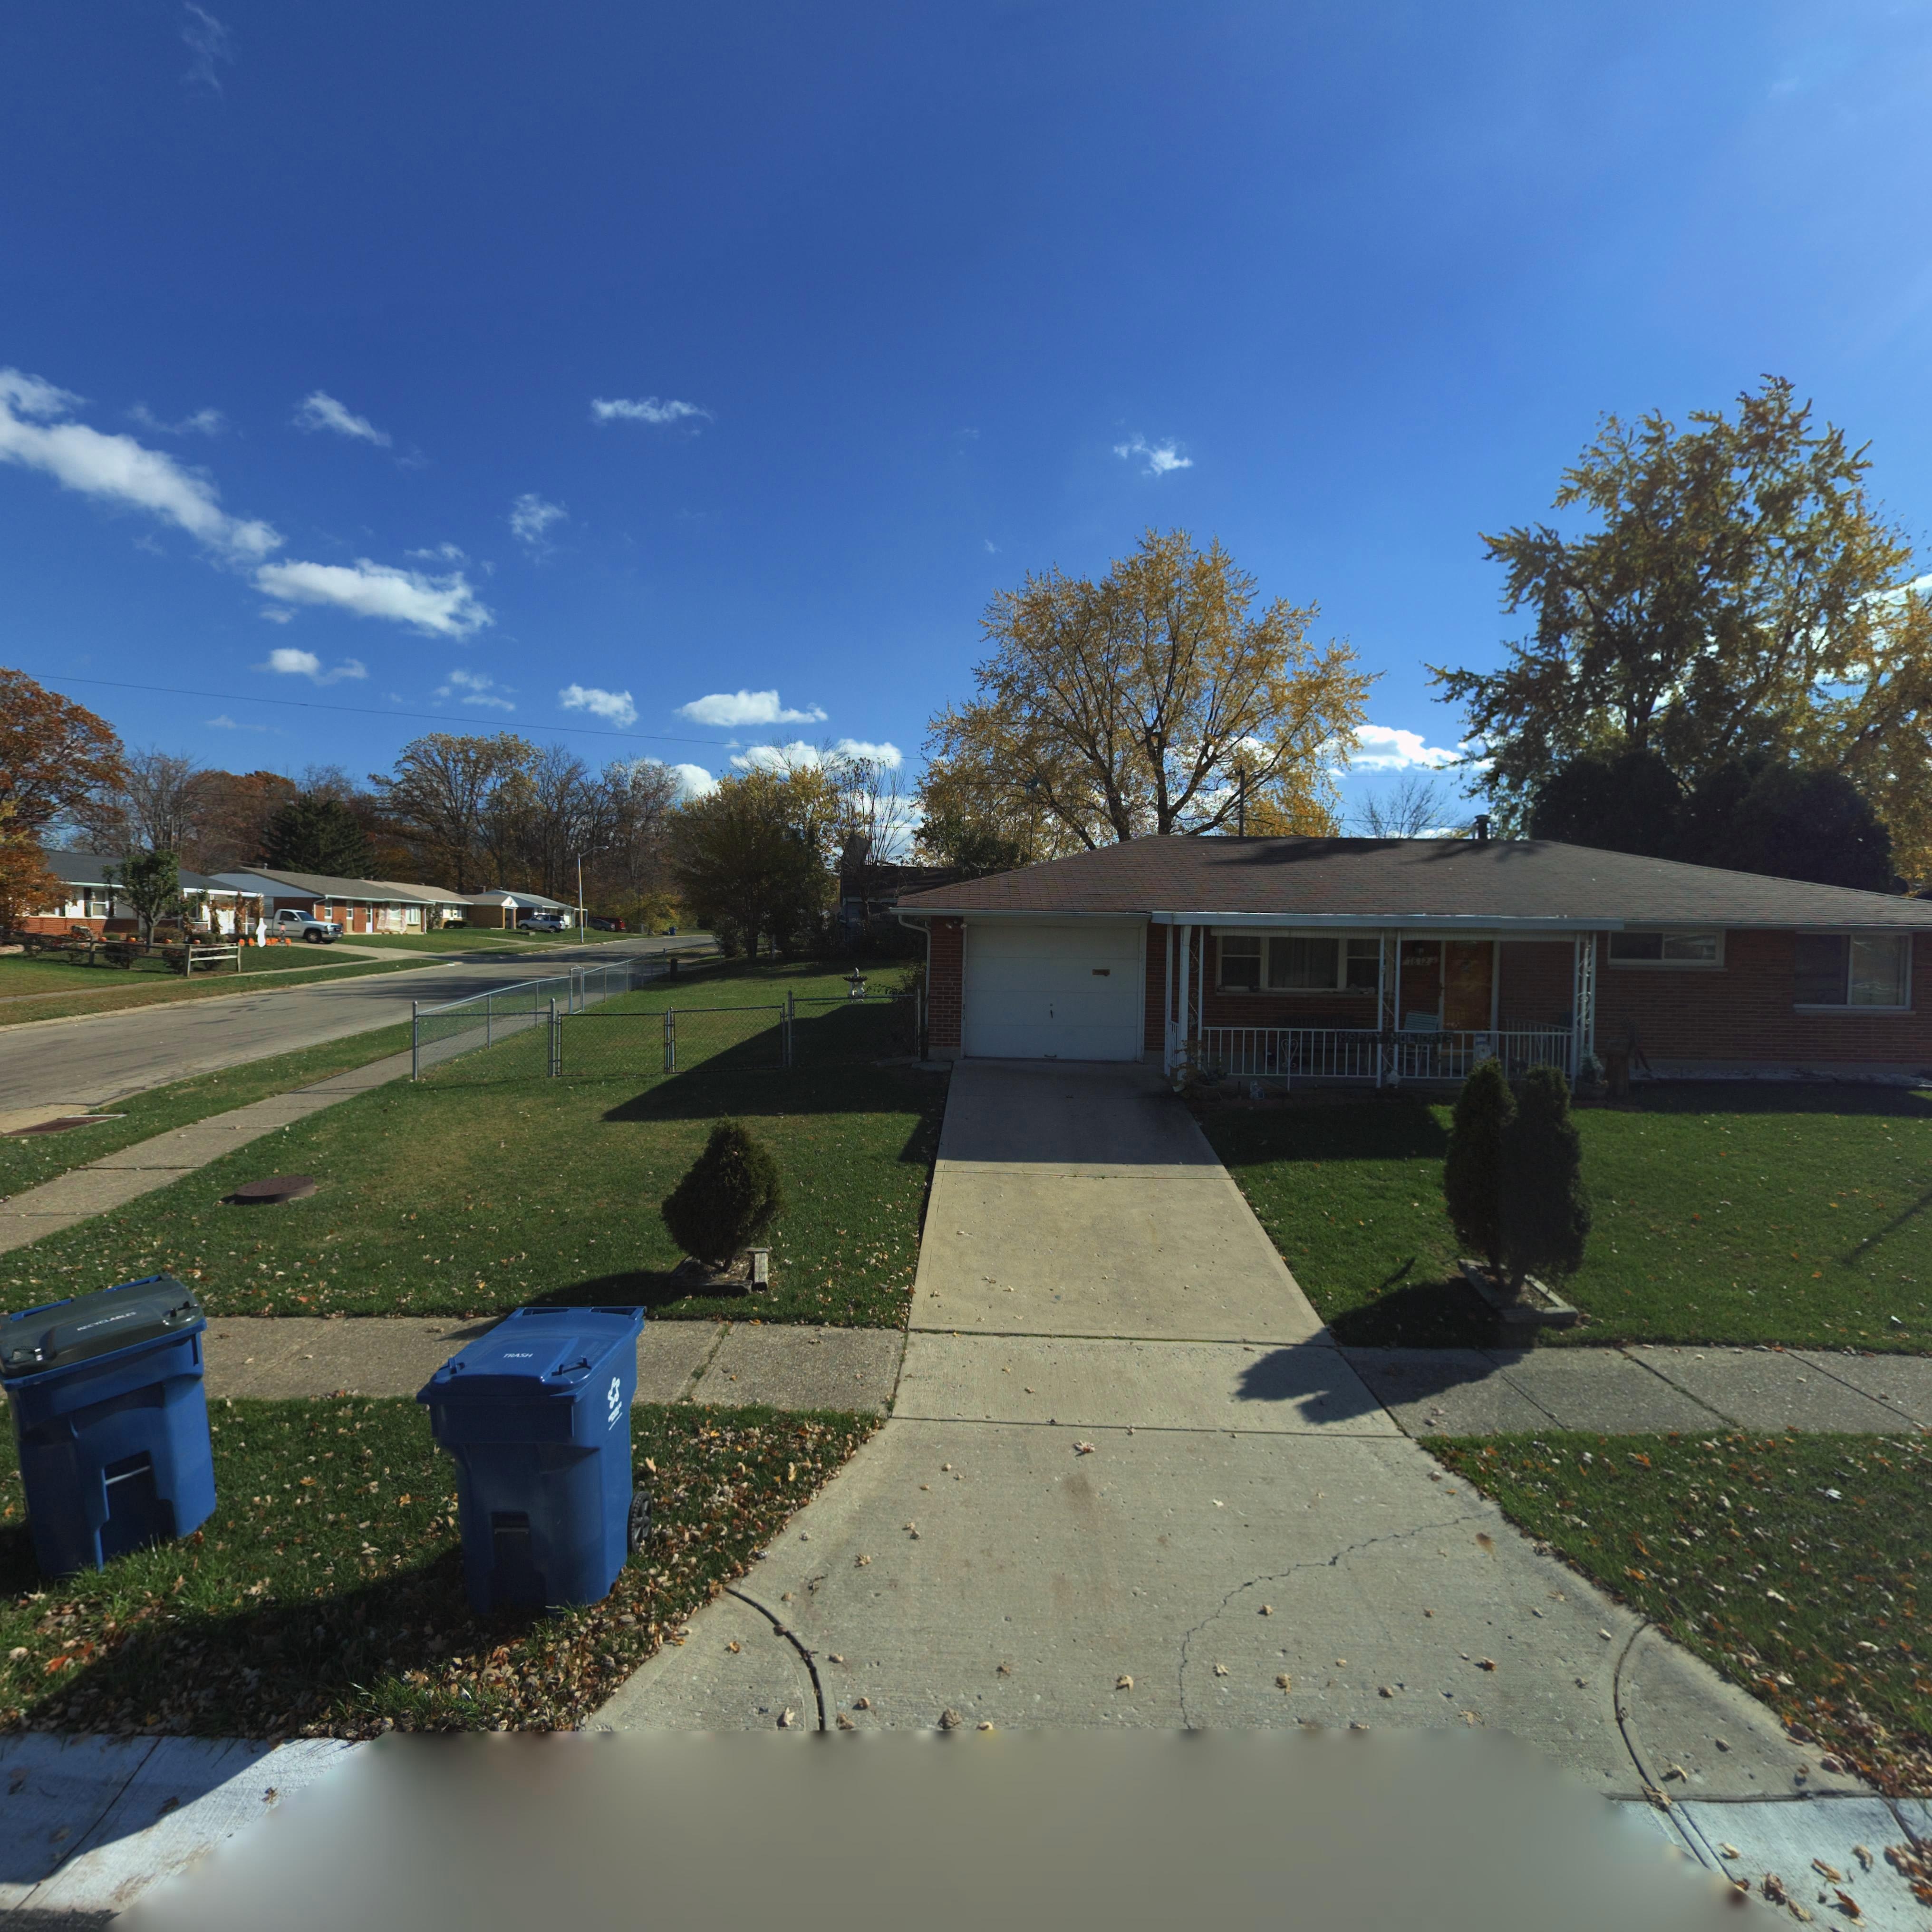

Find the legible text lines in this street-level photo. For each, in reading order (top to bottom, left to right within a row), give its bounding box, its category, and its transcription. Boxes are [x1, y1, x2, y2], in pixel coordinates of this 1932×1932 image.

[1406, 956, 1428, 966] StreetNumber: 7812